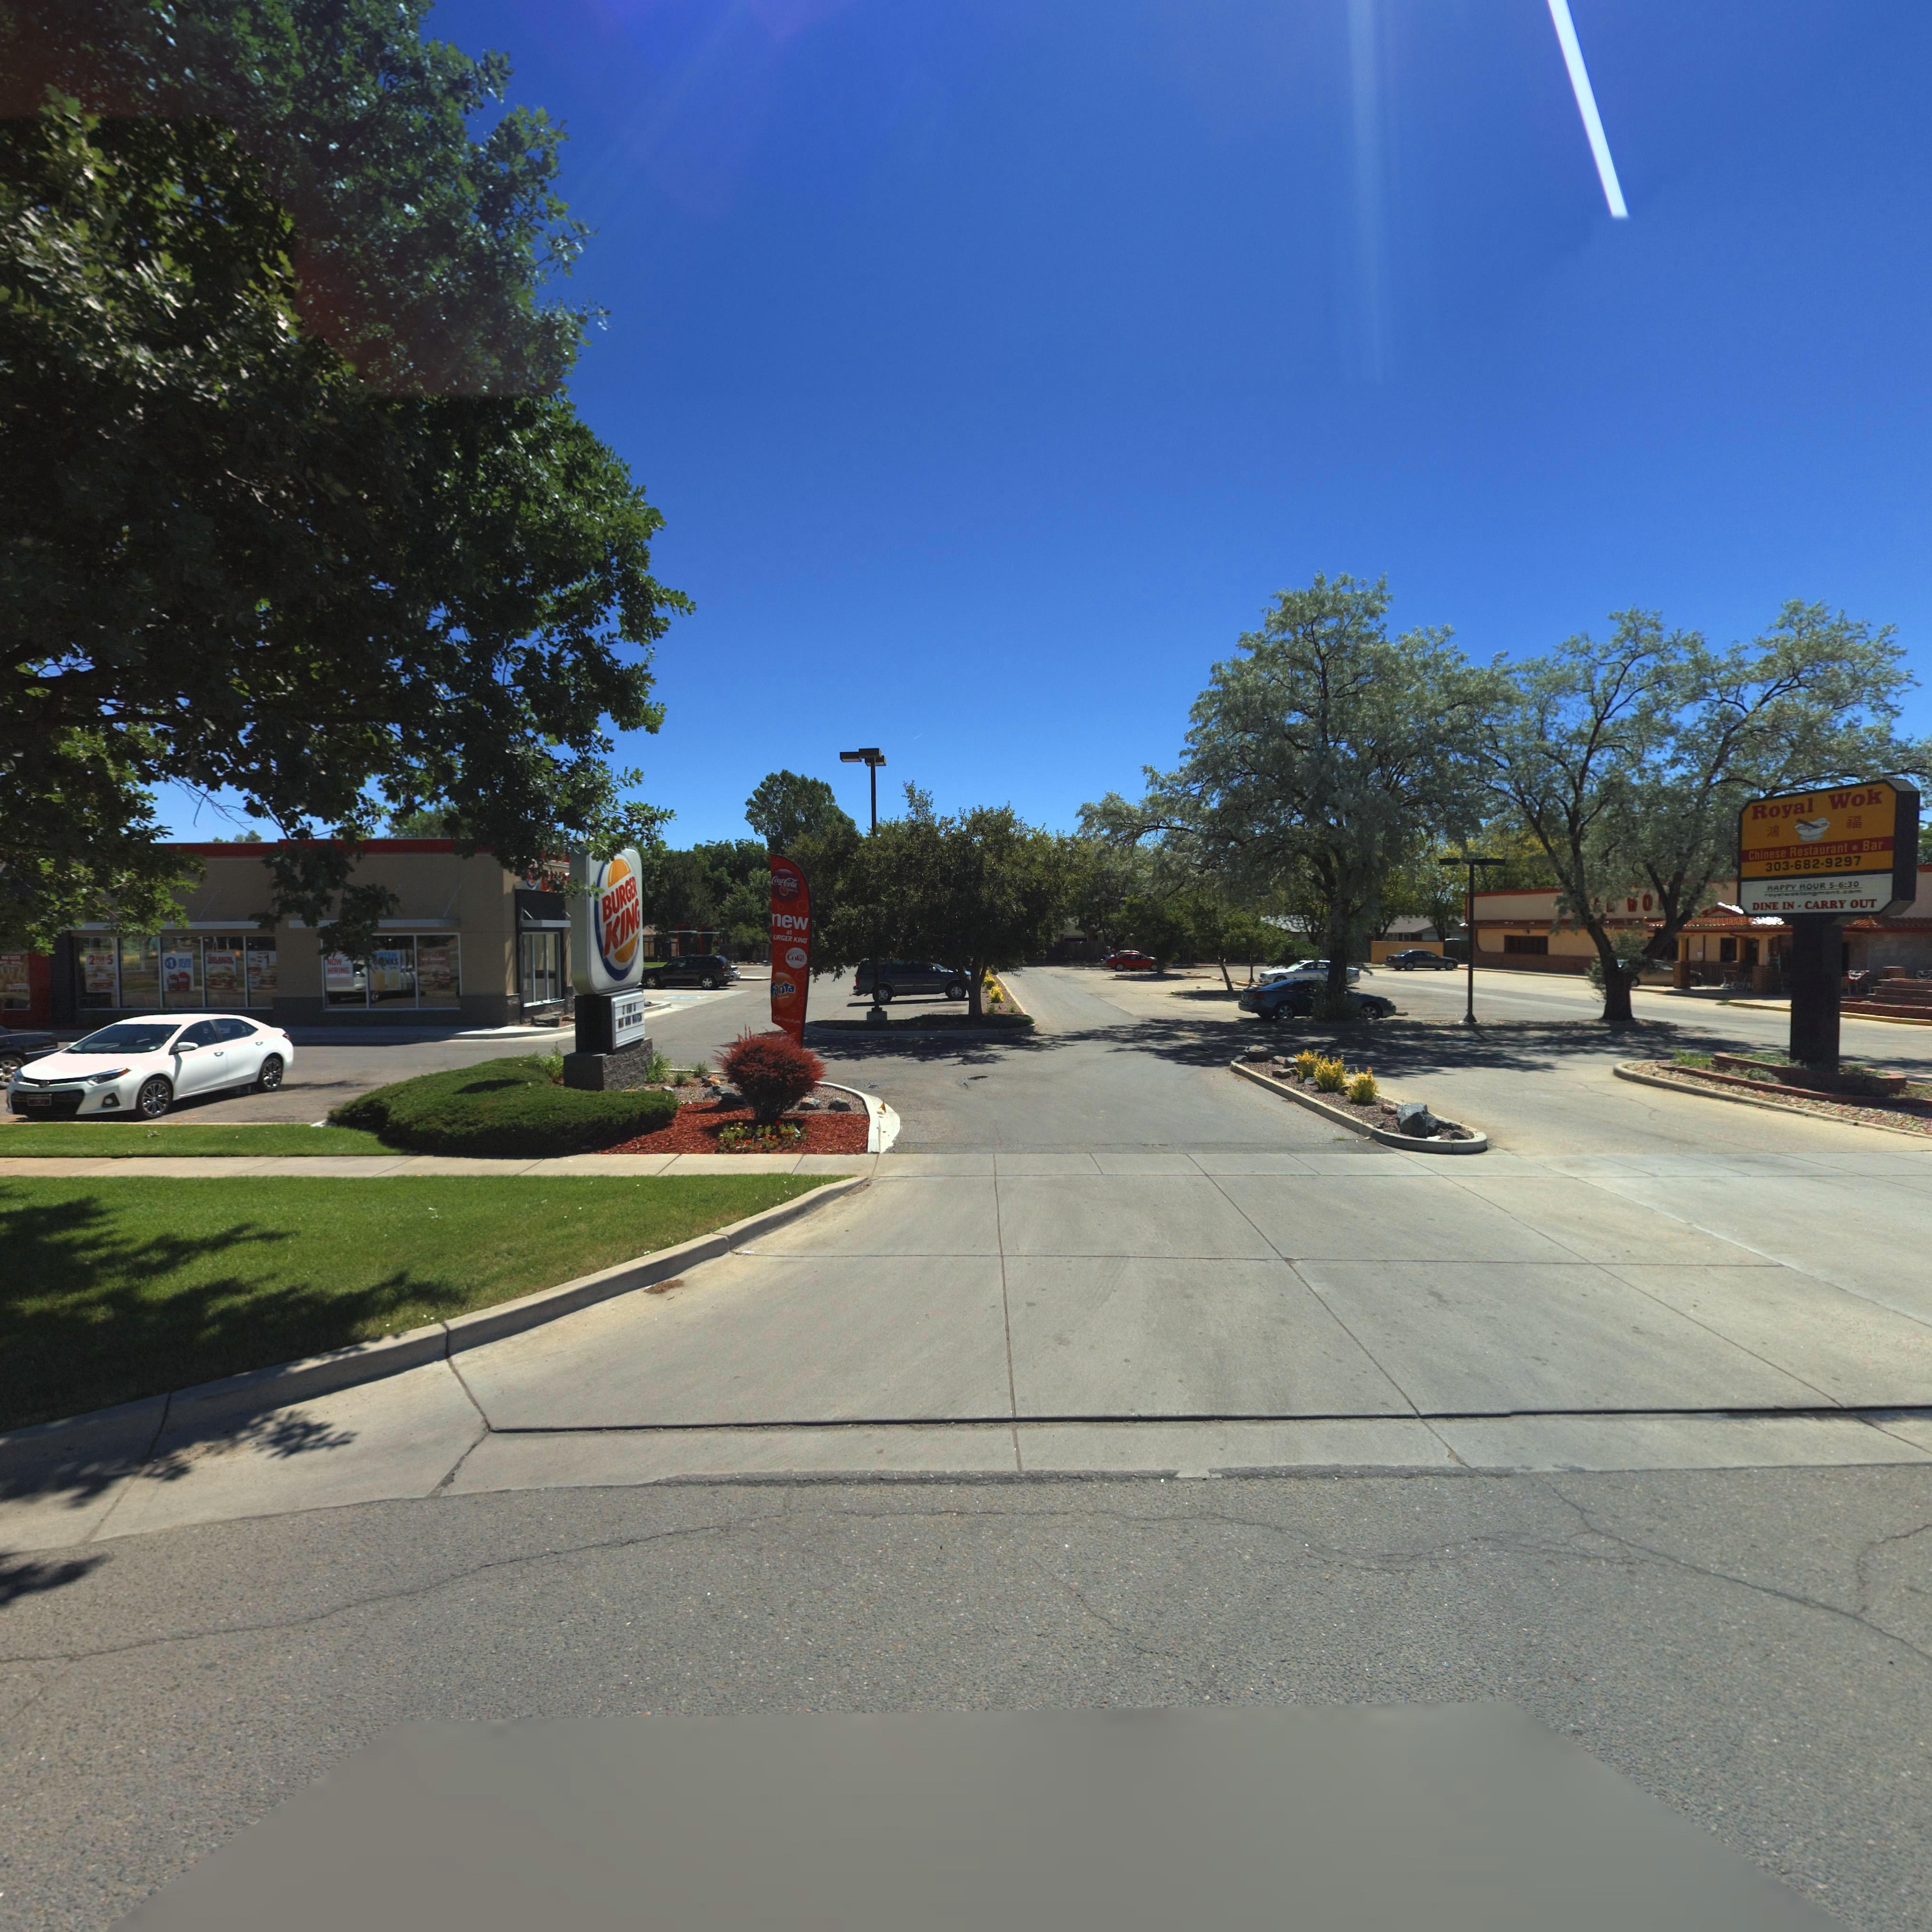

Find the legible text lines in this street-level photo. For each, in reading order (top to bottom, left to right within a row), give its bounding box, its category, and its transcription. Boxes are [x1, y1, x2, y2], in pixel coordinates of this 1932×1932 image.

[601, 876, 638, 923] BusinessName: BURGER
[1642, 894, 1653, 911] BusinessName: O
[603, 898, 640, 958] BusinessName: KING